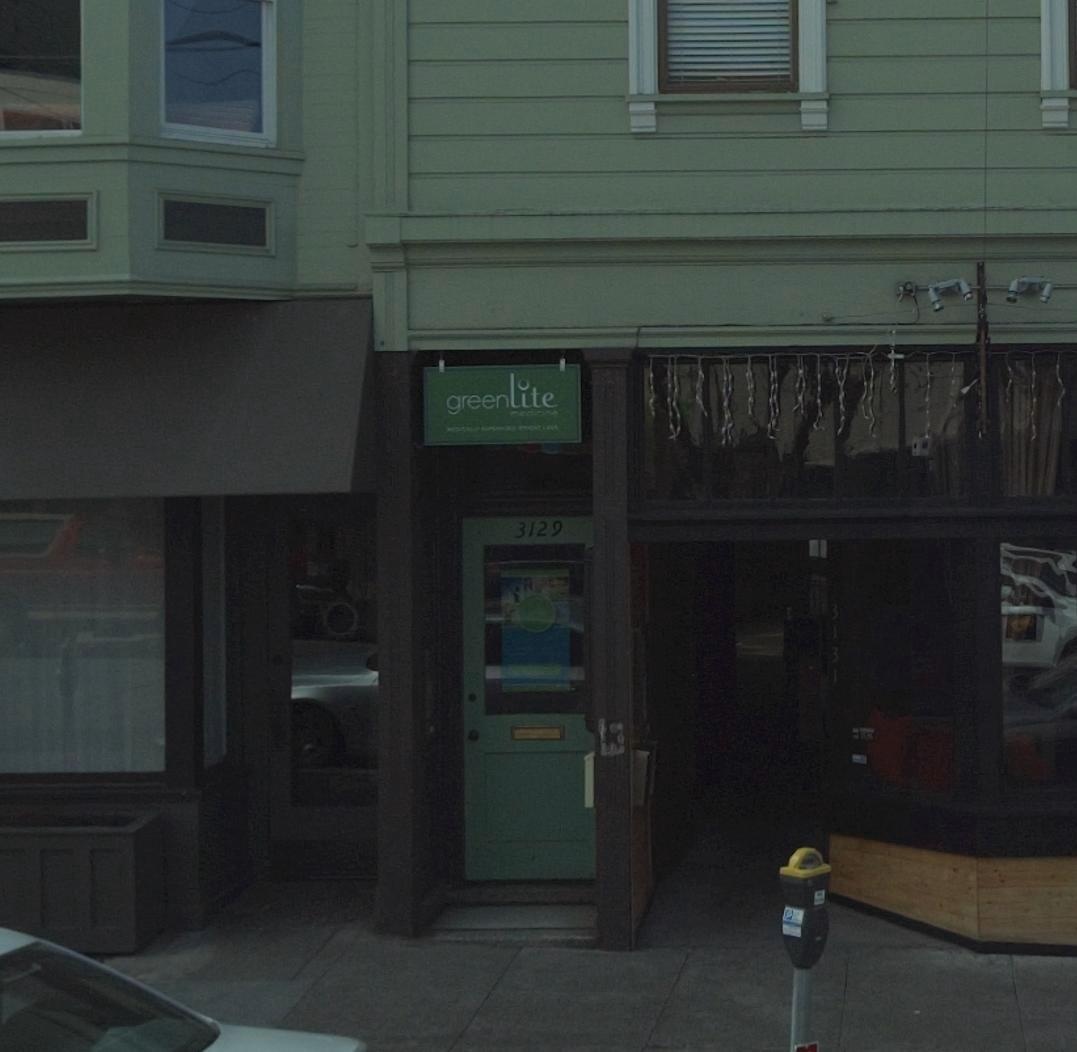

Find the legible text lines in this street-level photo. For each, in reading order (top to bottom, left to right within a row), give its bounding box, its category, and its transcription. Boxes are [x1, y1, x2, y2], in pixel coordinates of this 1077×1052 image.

[443, 369, 563, 418] StreetNumber: greenlite
[512, 518, 565, 540] StreetNumber: 3129
[830, 601, 842, 686] StreetNumber: 3131